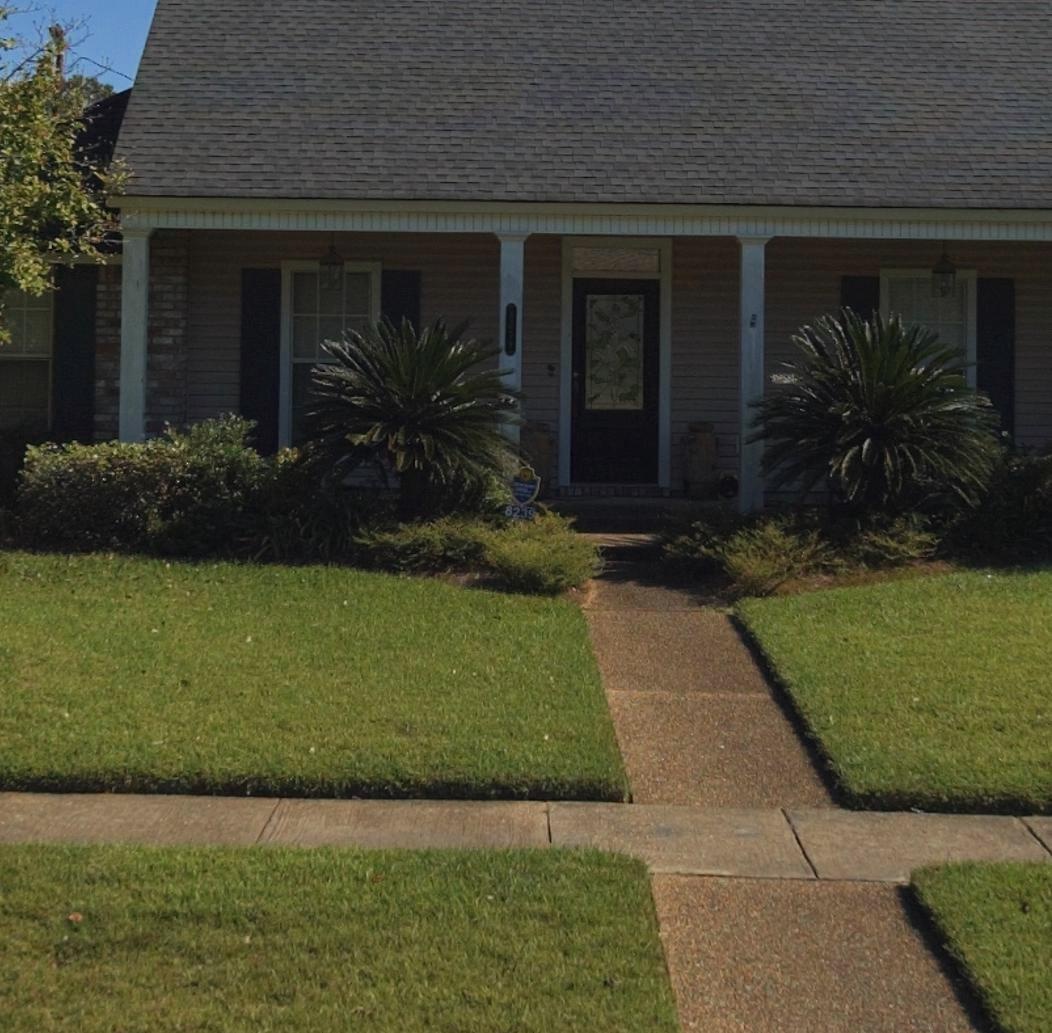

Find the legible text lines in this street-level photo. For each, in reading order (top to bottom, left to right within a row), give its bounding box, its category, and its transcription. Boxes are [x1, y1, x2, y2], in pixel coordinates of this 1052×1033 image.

[507, 304, 515, 353] StreetNumber: 8239
[503, 505, 537, 520] StreetNumber: 8239